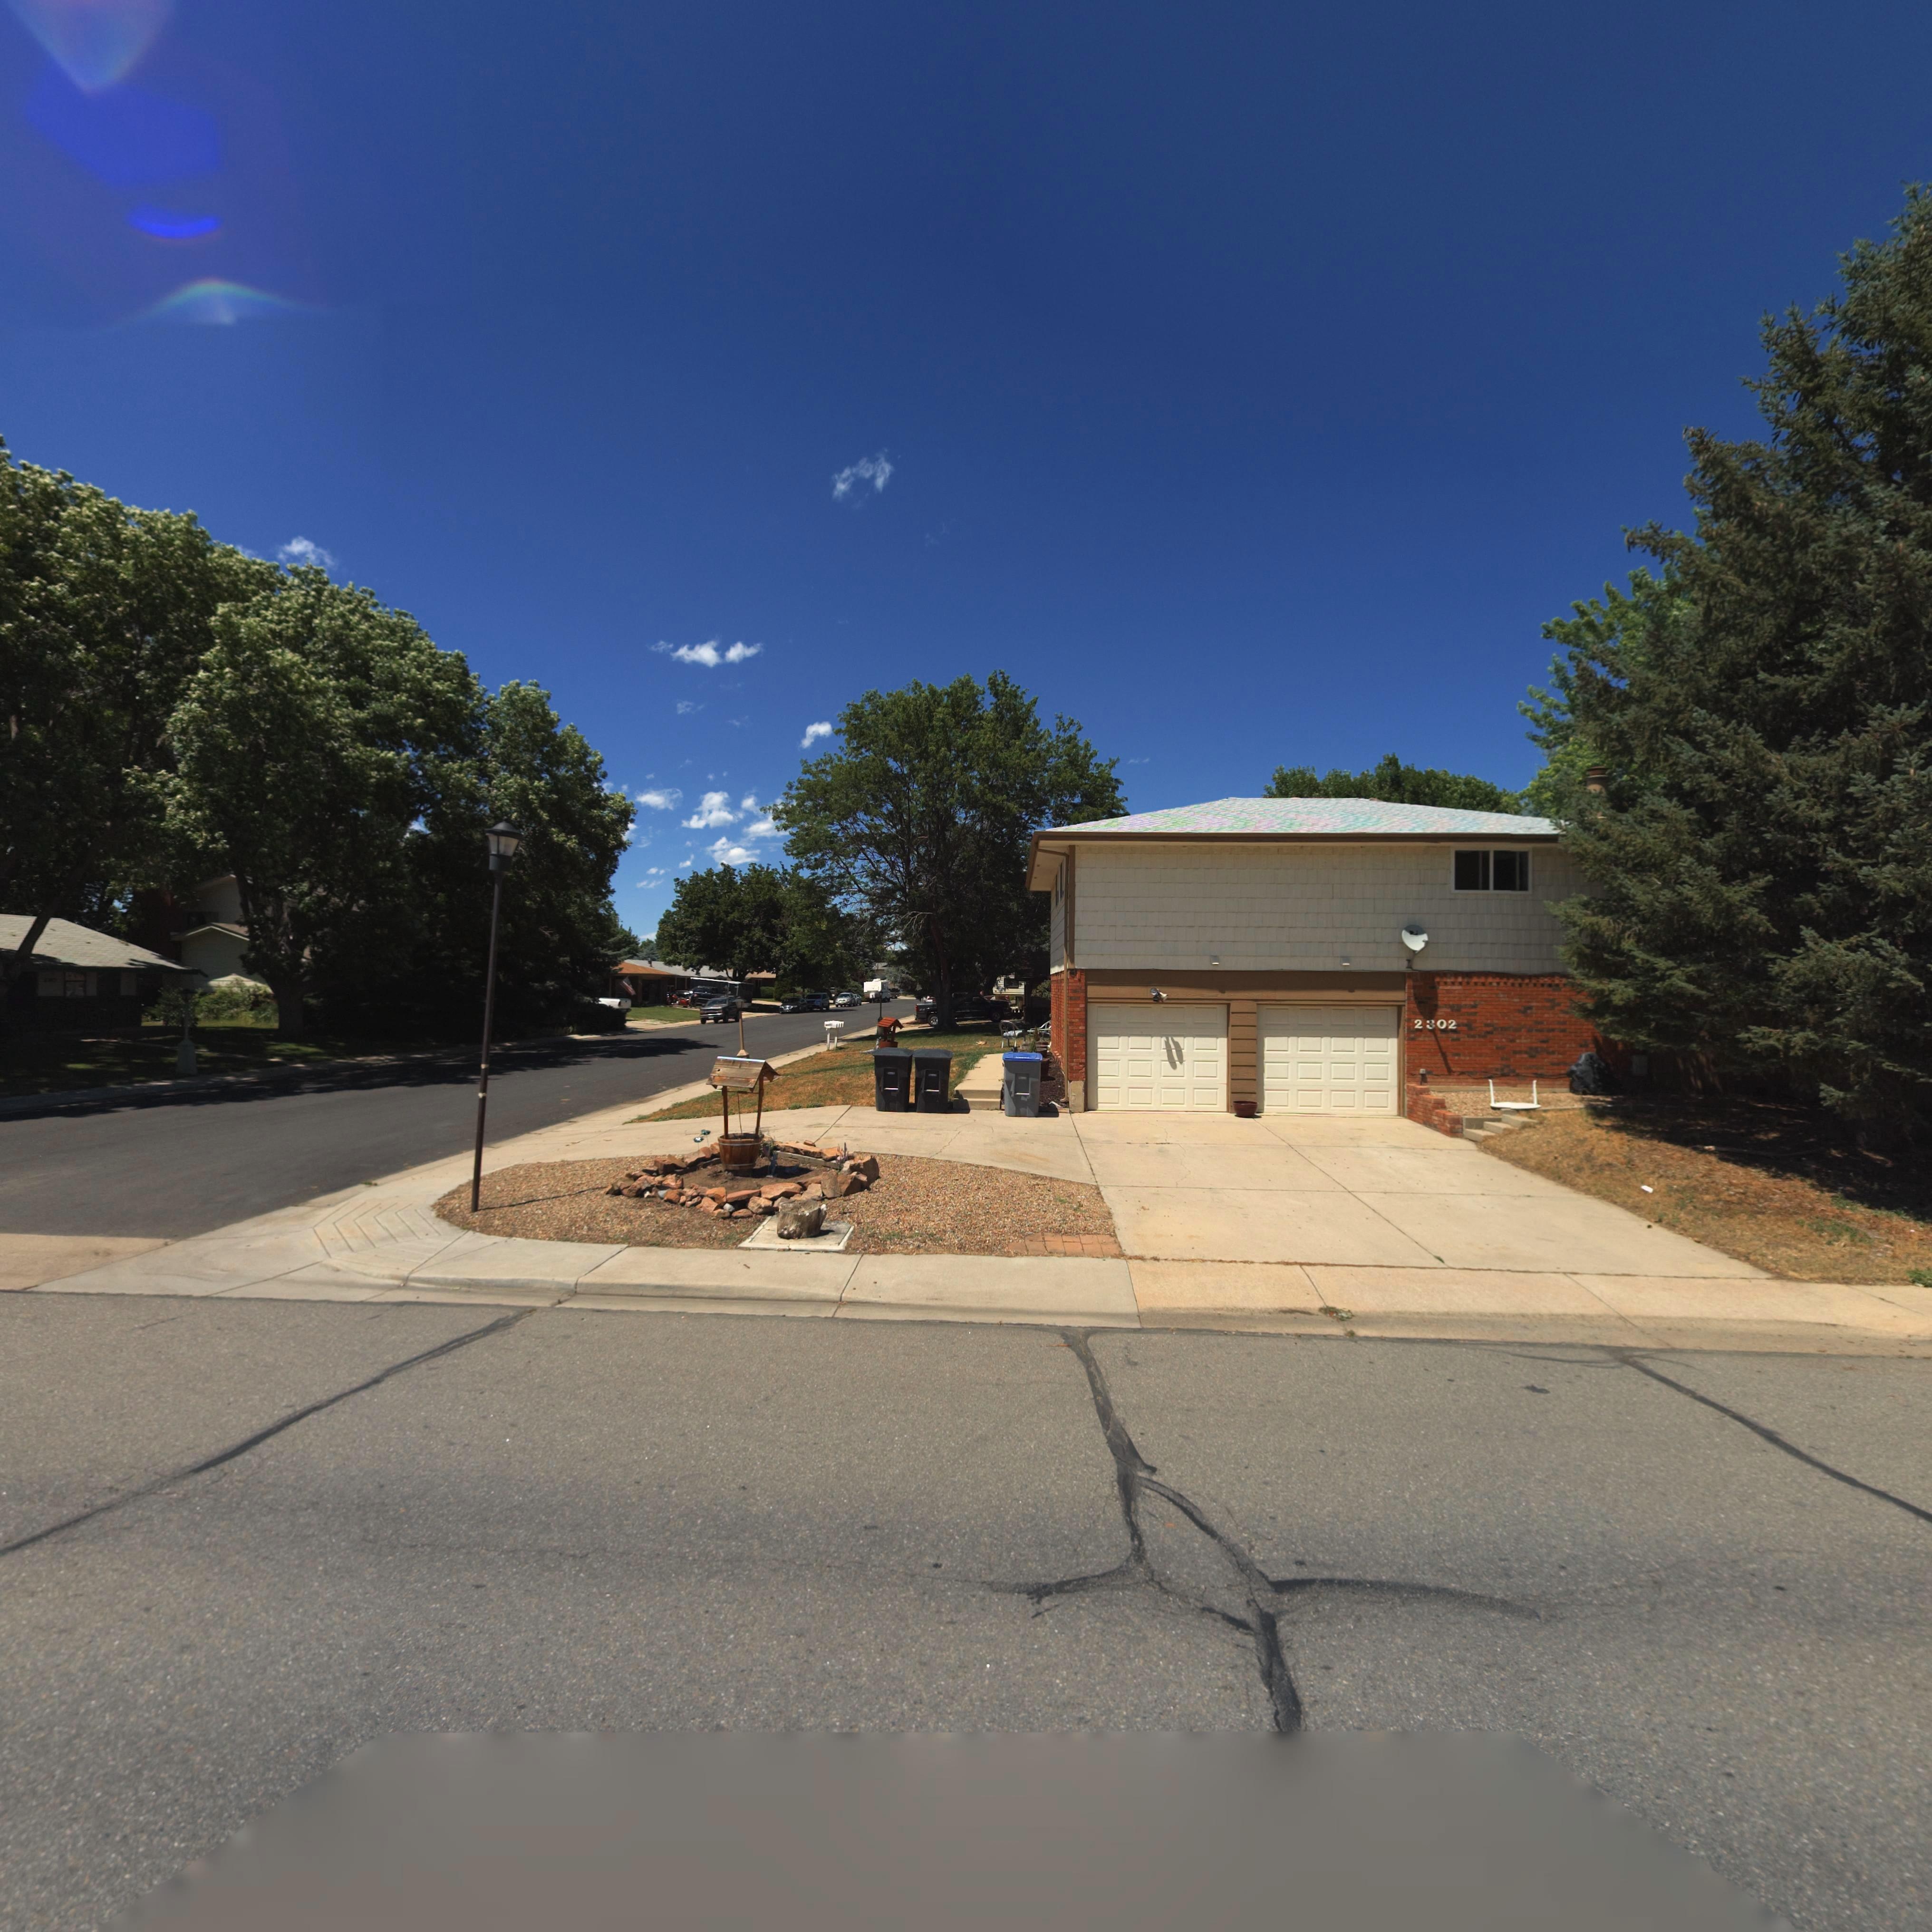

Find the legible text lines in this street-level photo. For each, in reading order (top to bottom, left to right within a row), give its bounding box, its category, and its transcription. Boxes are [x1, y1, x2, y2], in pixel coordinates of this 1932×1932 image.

[1414, 1018, 1457, 1030] StreetNumber: 2302